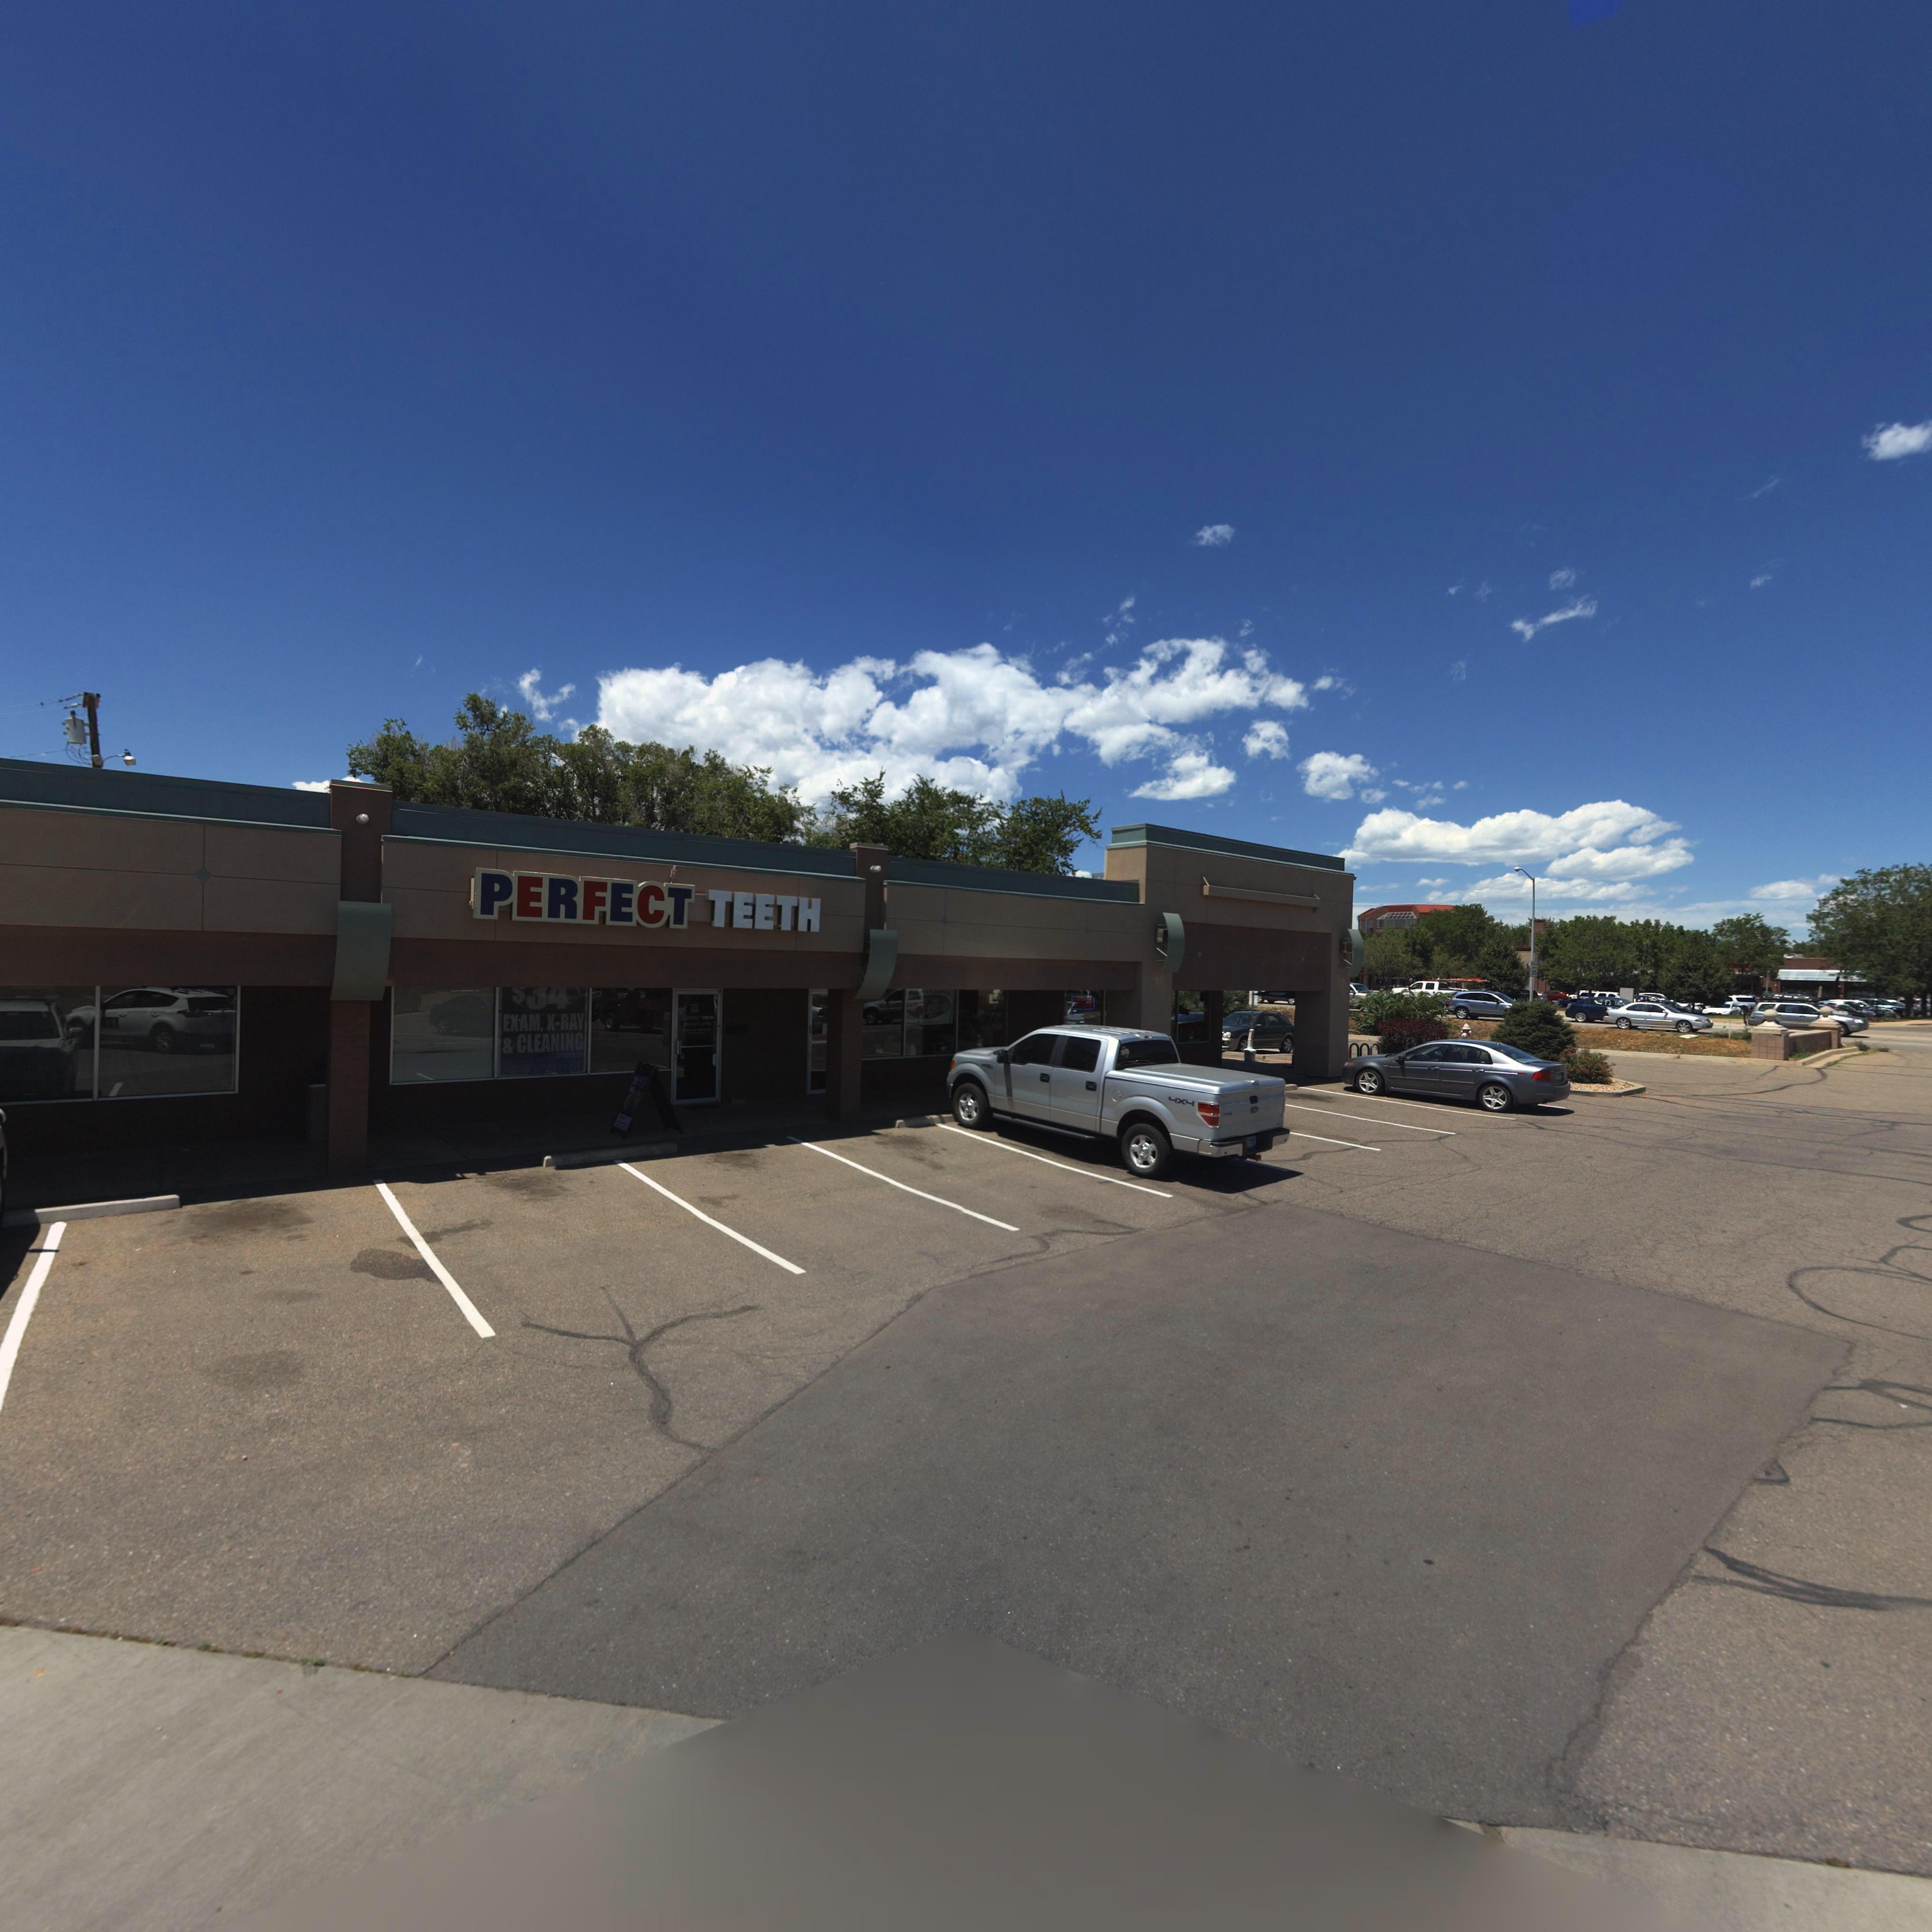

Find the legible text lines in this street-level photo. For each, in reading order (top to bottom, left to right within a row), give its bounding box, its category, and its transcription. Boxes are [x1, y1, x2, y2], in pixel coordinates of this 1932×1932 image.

[478, 871, 821, 933] BusinessName: PERFECT TEETH
[701, 1015, 714, 1020] BusinessName: TEETH
[502, 1063, 580, 1074] BusinessName: PERFECT TEETH